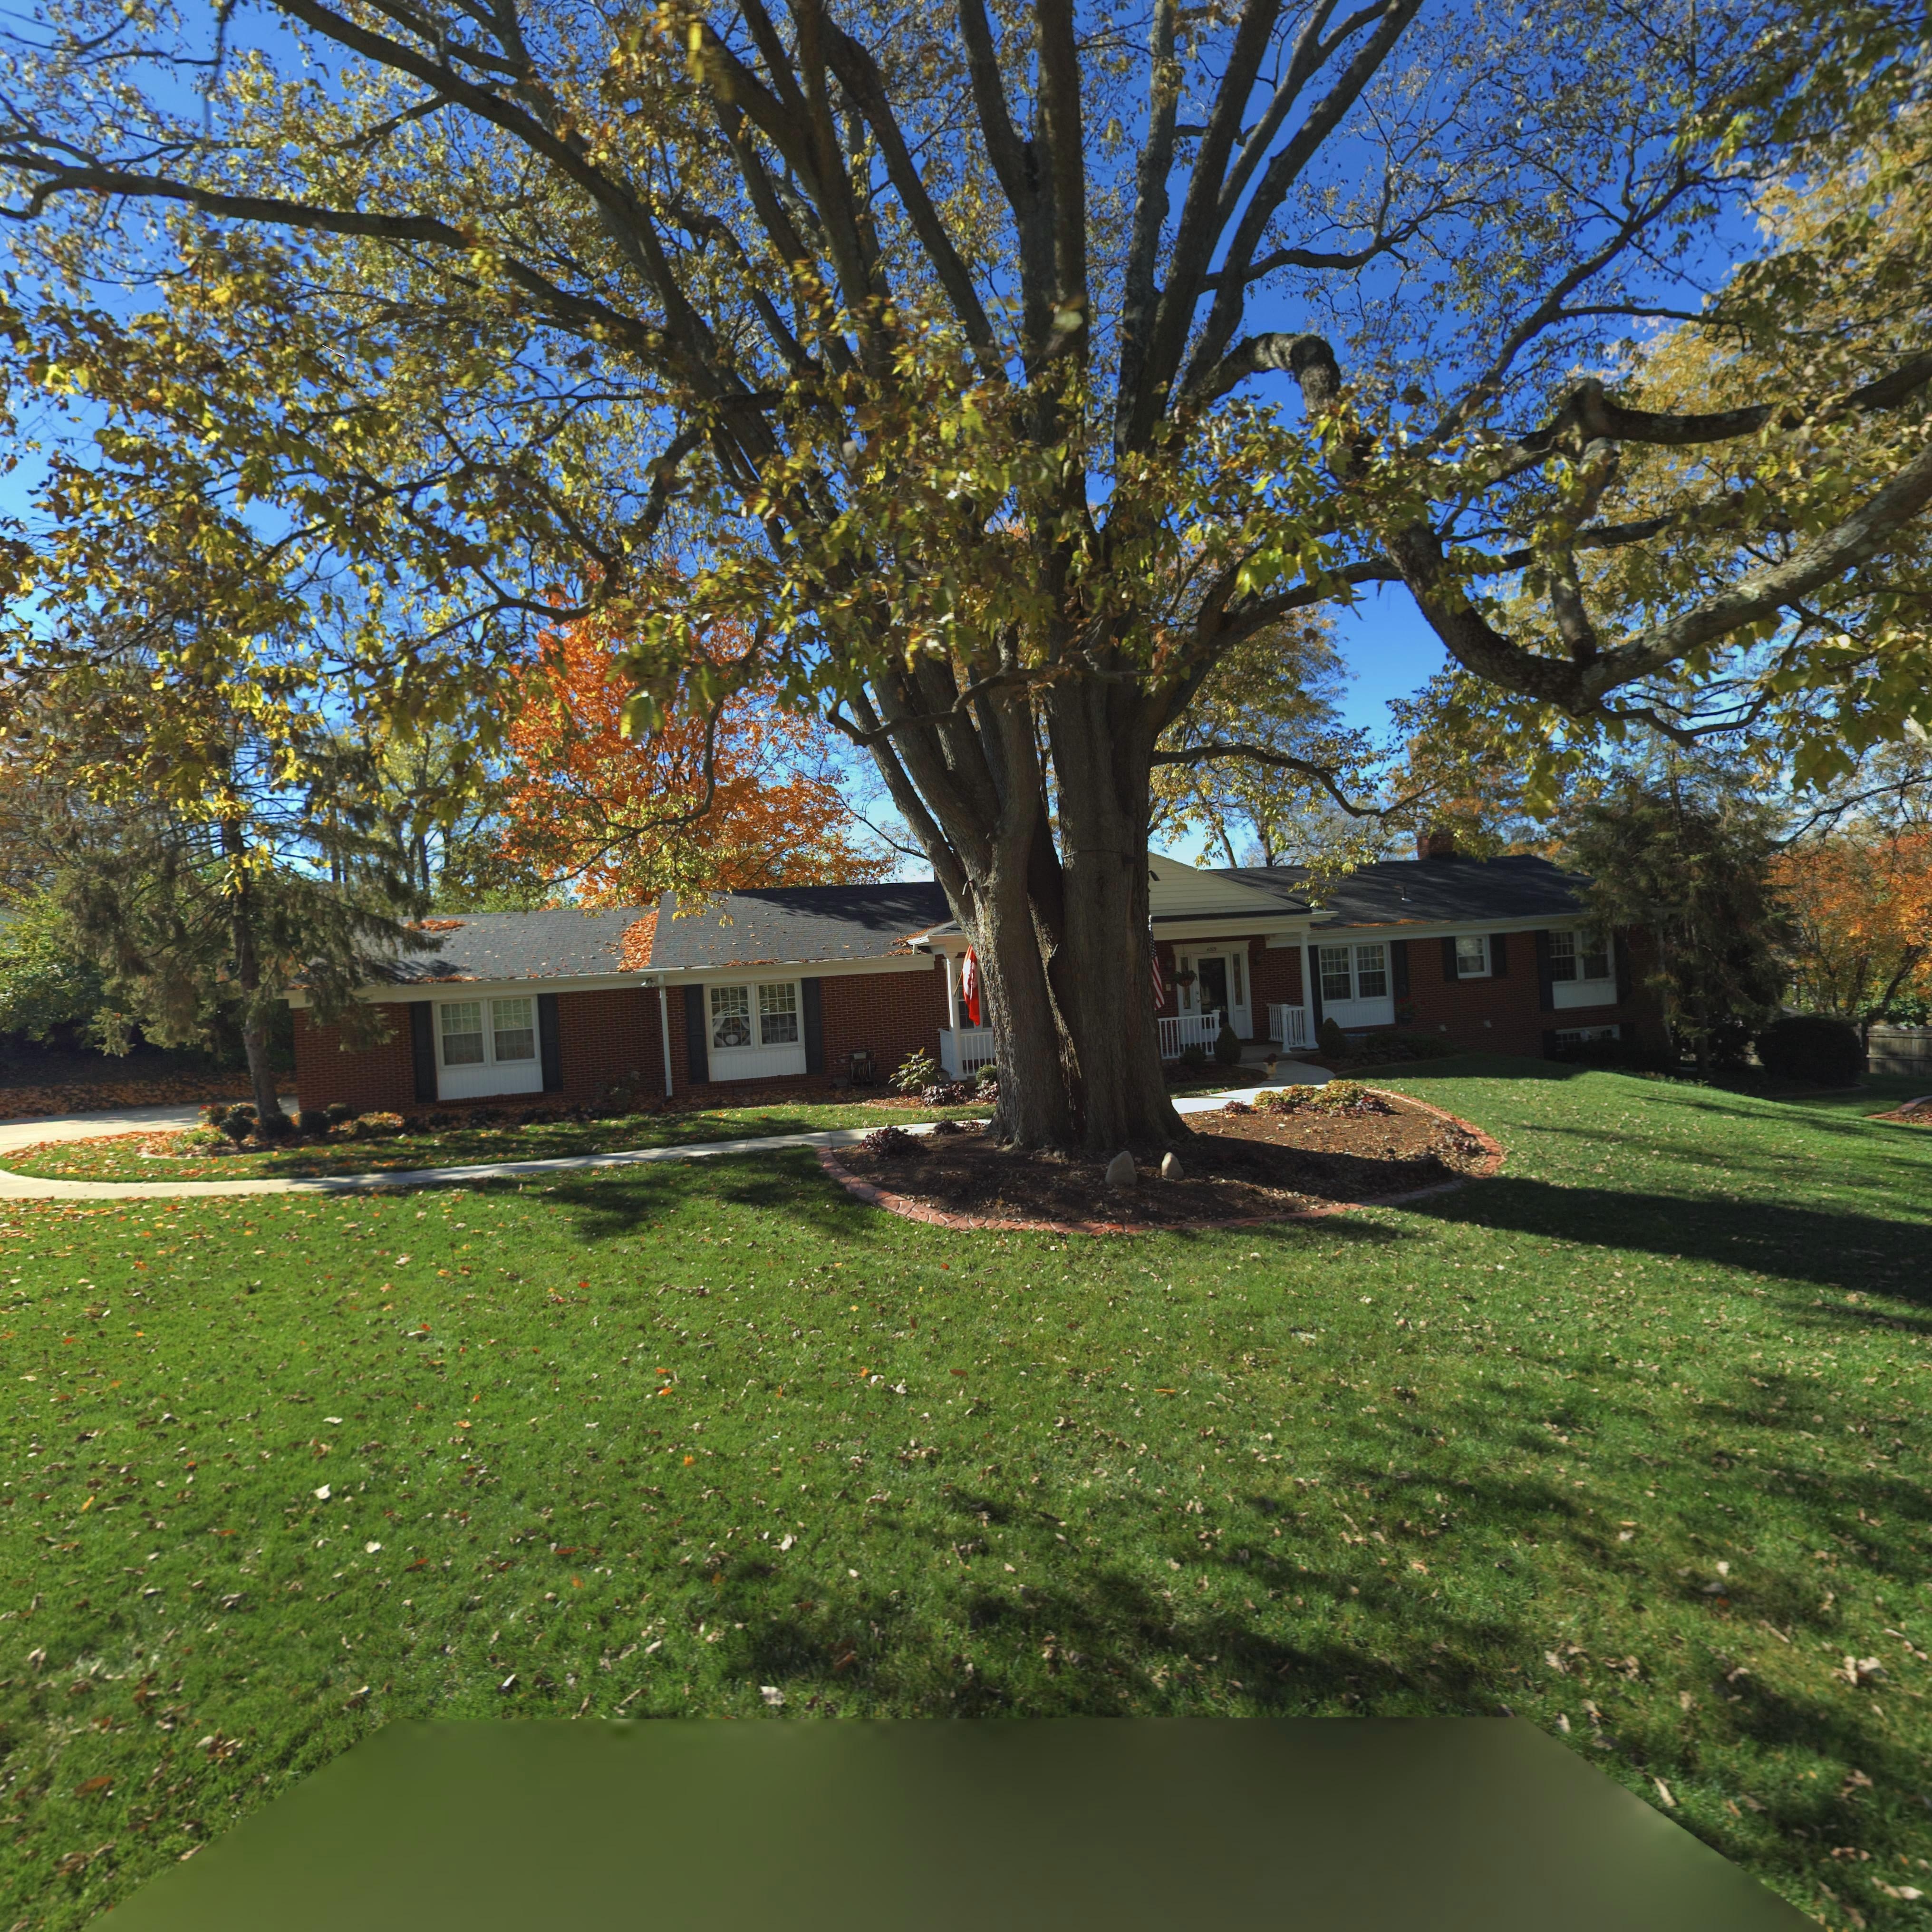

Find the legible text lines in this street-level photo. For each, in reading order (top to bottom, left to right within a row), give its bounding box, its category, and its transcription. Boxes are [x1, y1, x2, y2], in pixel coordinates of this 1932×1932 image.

[1206, 947, 1217, 951] StreetNumber: 4209